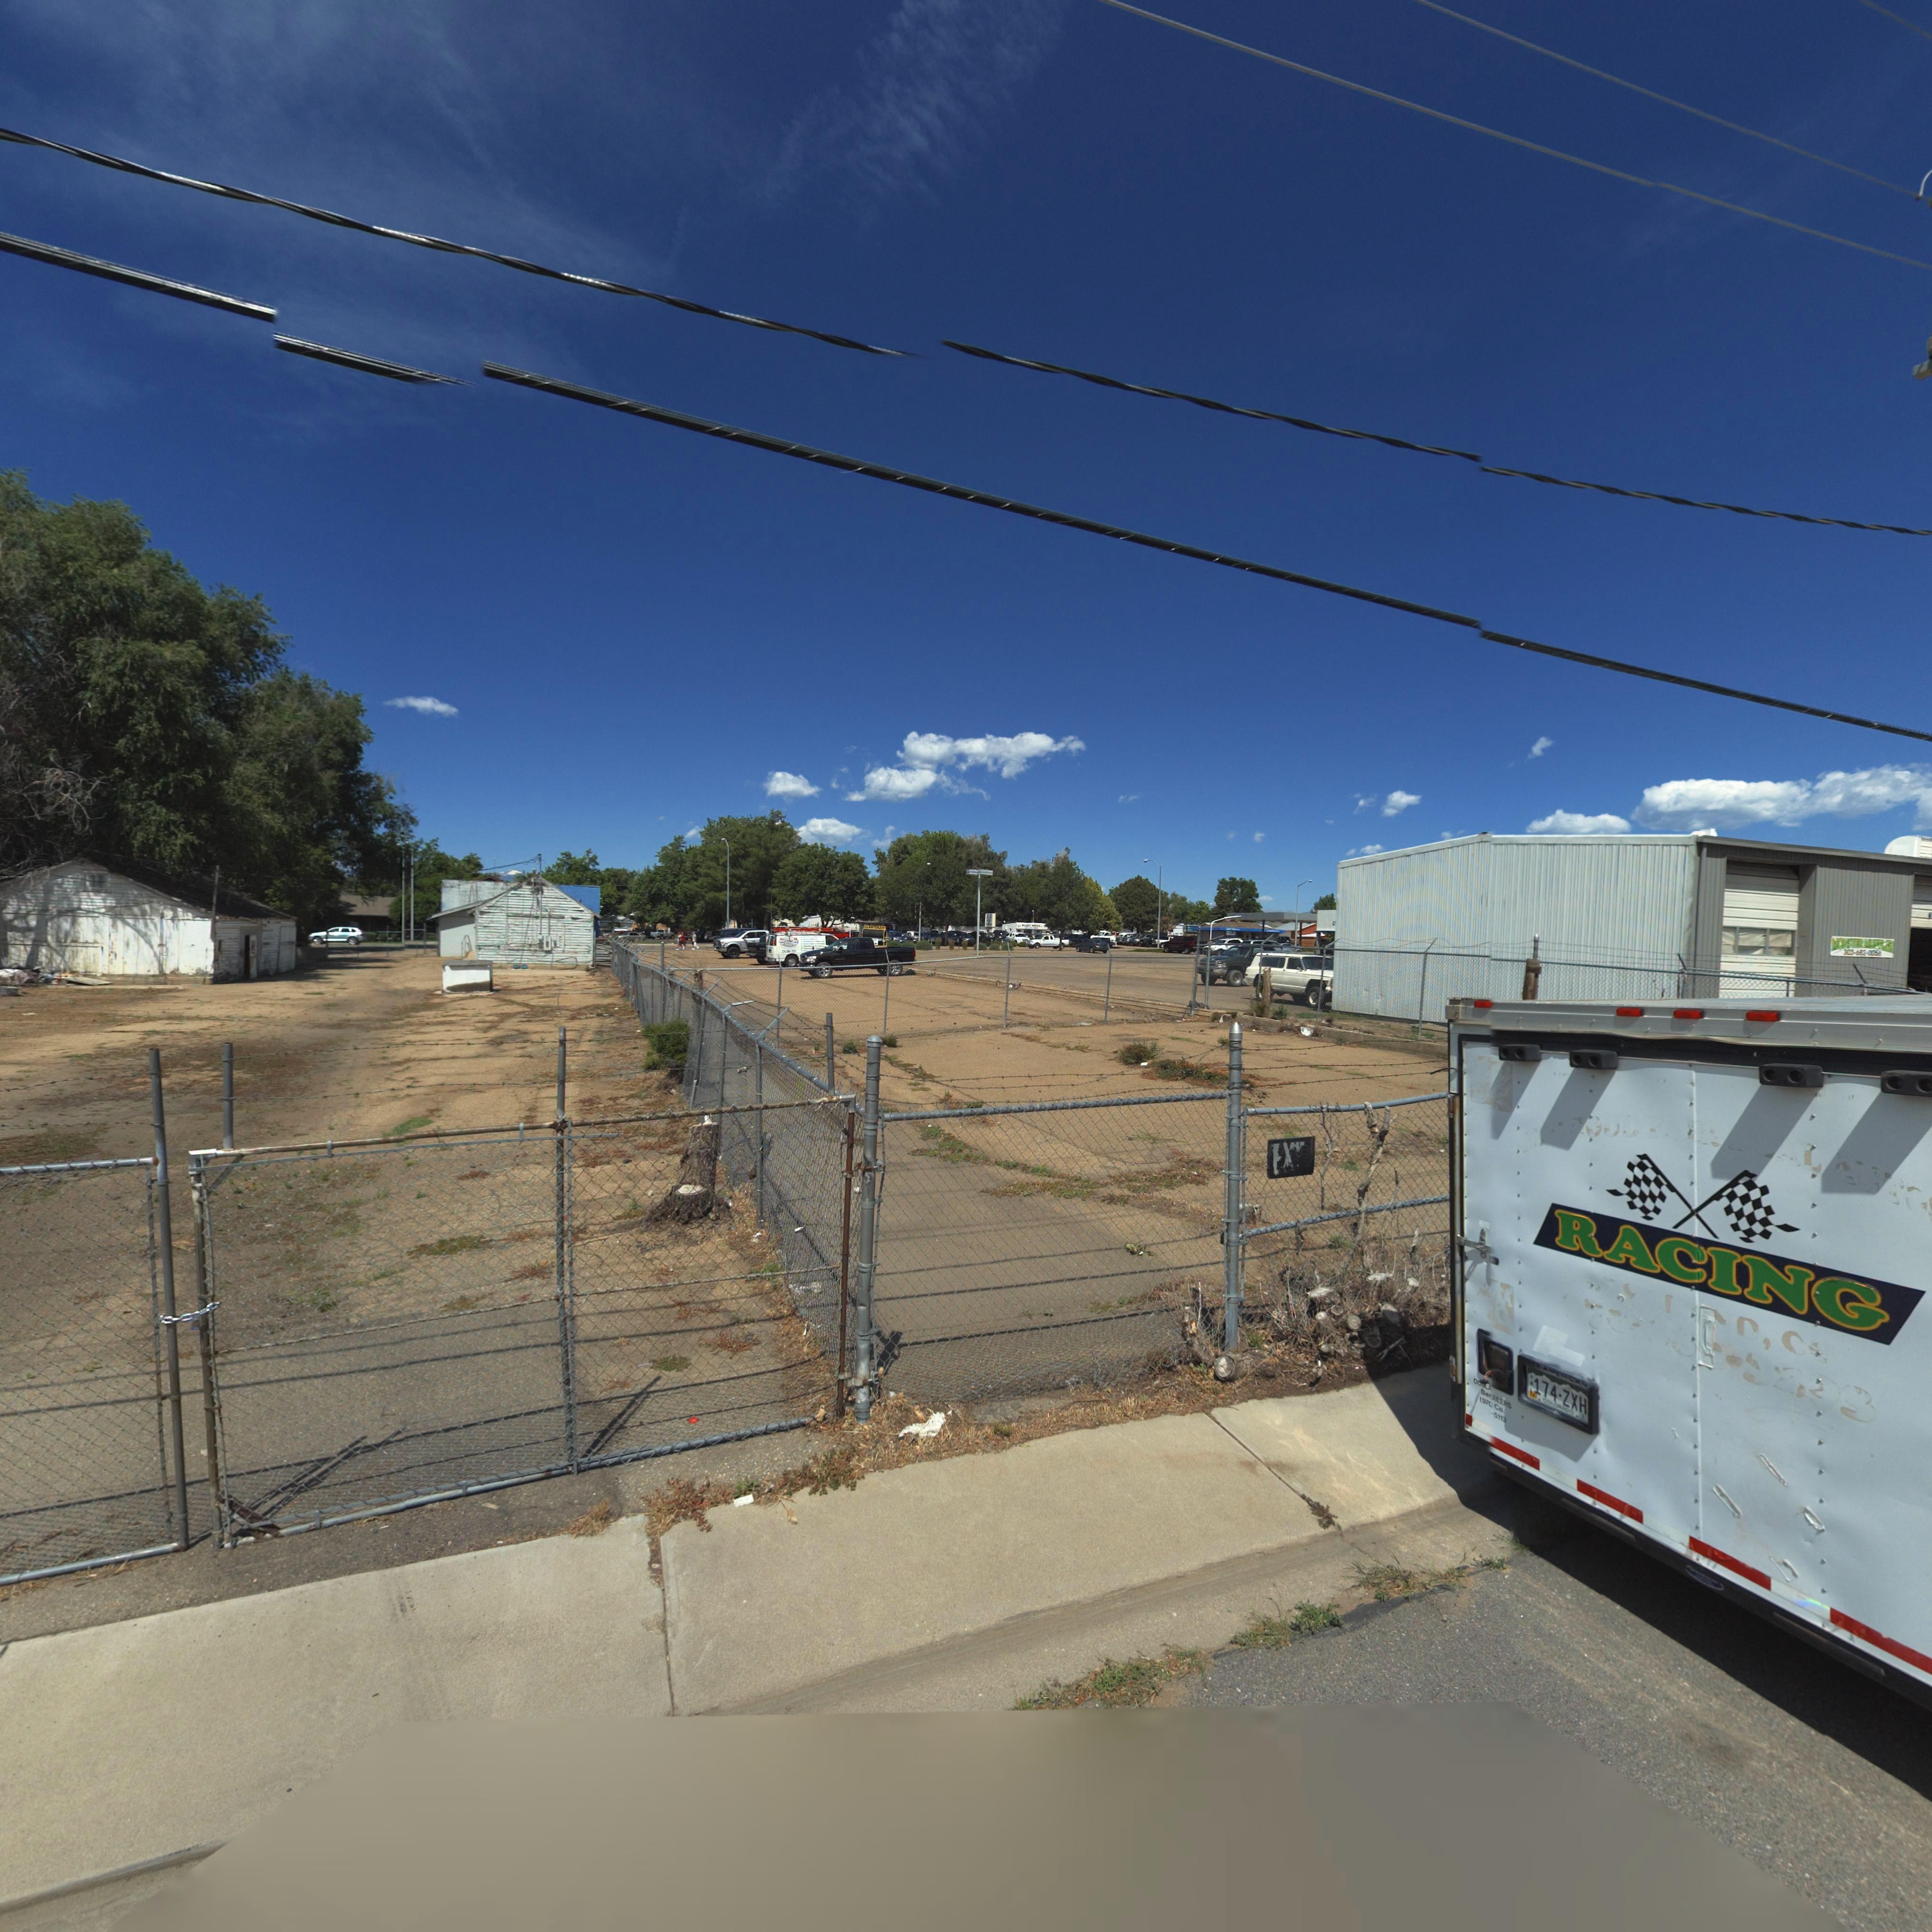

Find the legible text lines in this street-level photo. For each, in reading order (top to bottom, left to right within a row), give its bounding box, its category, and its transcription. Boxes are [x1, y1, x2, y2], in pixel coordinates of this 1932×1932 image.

[1831, 937, 1894, 954] BusinessName: MO****R ******R